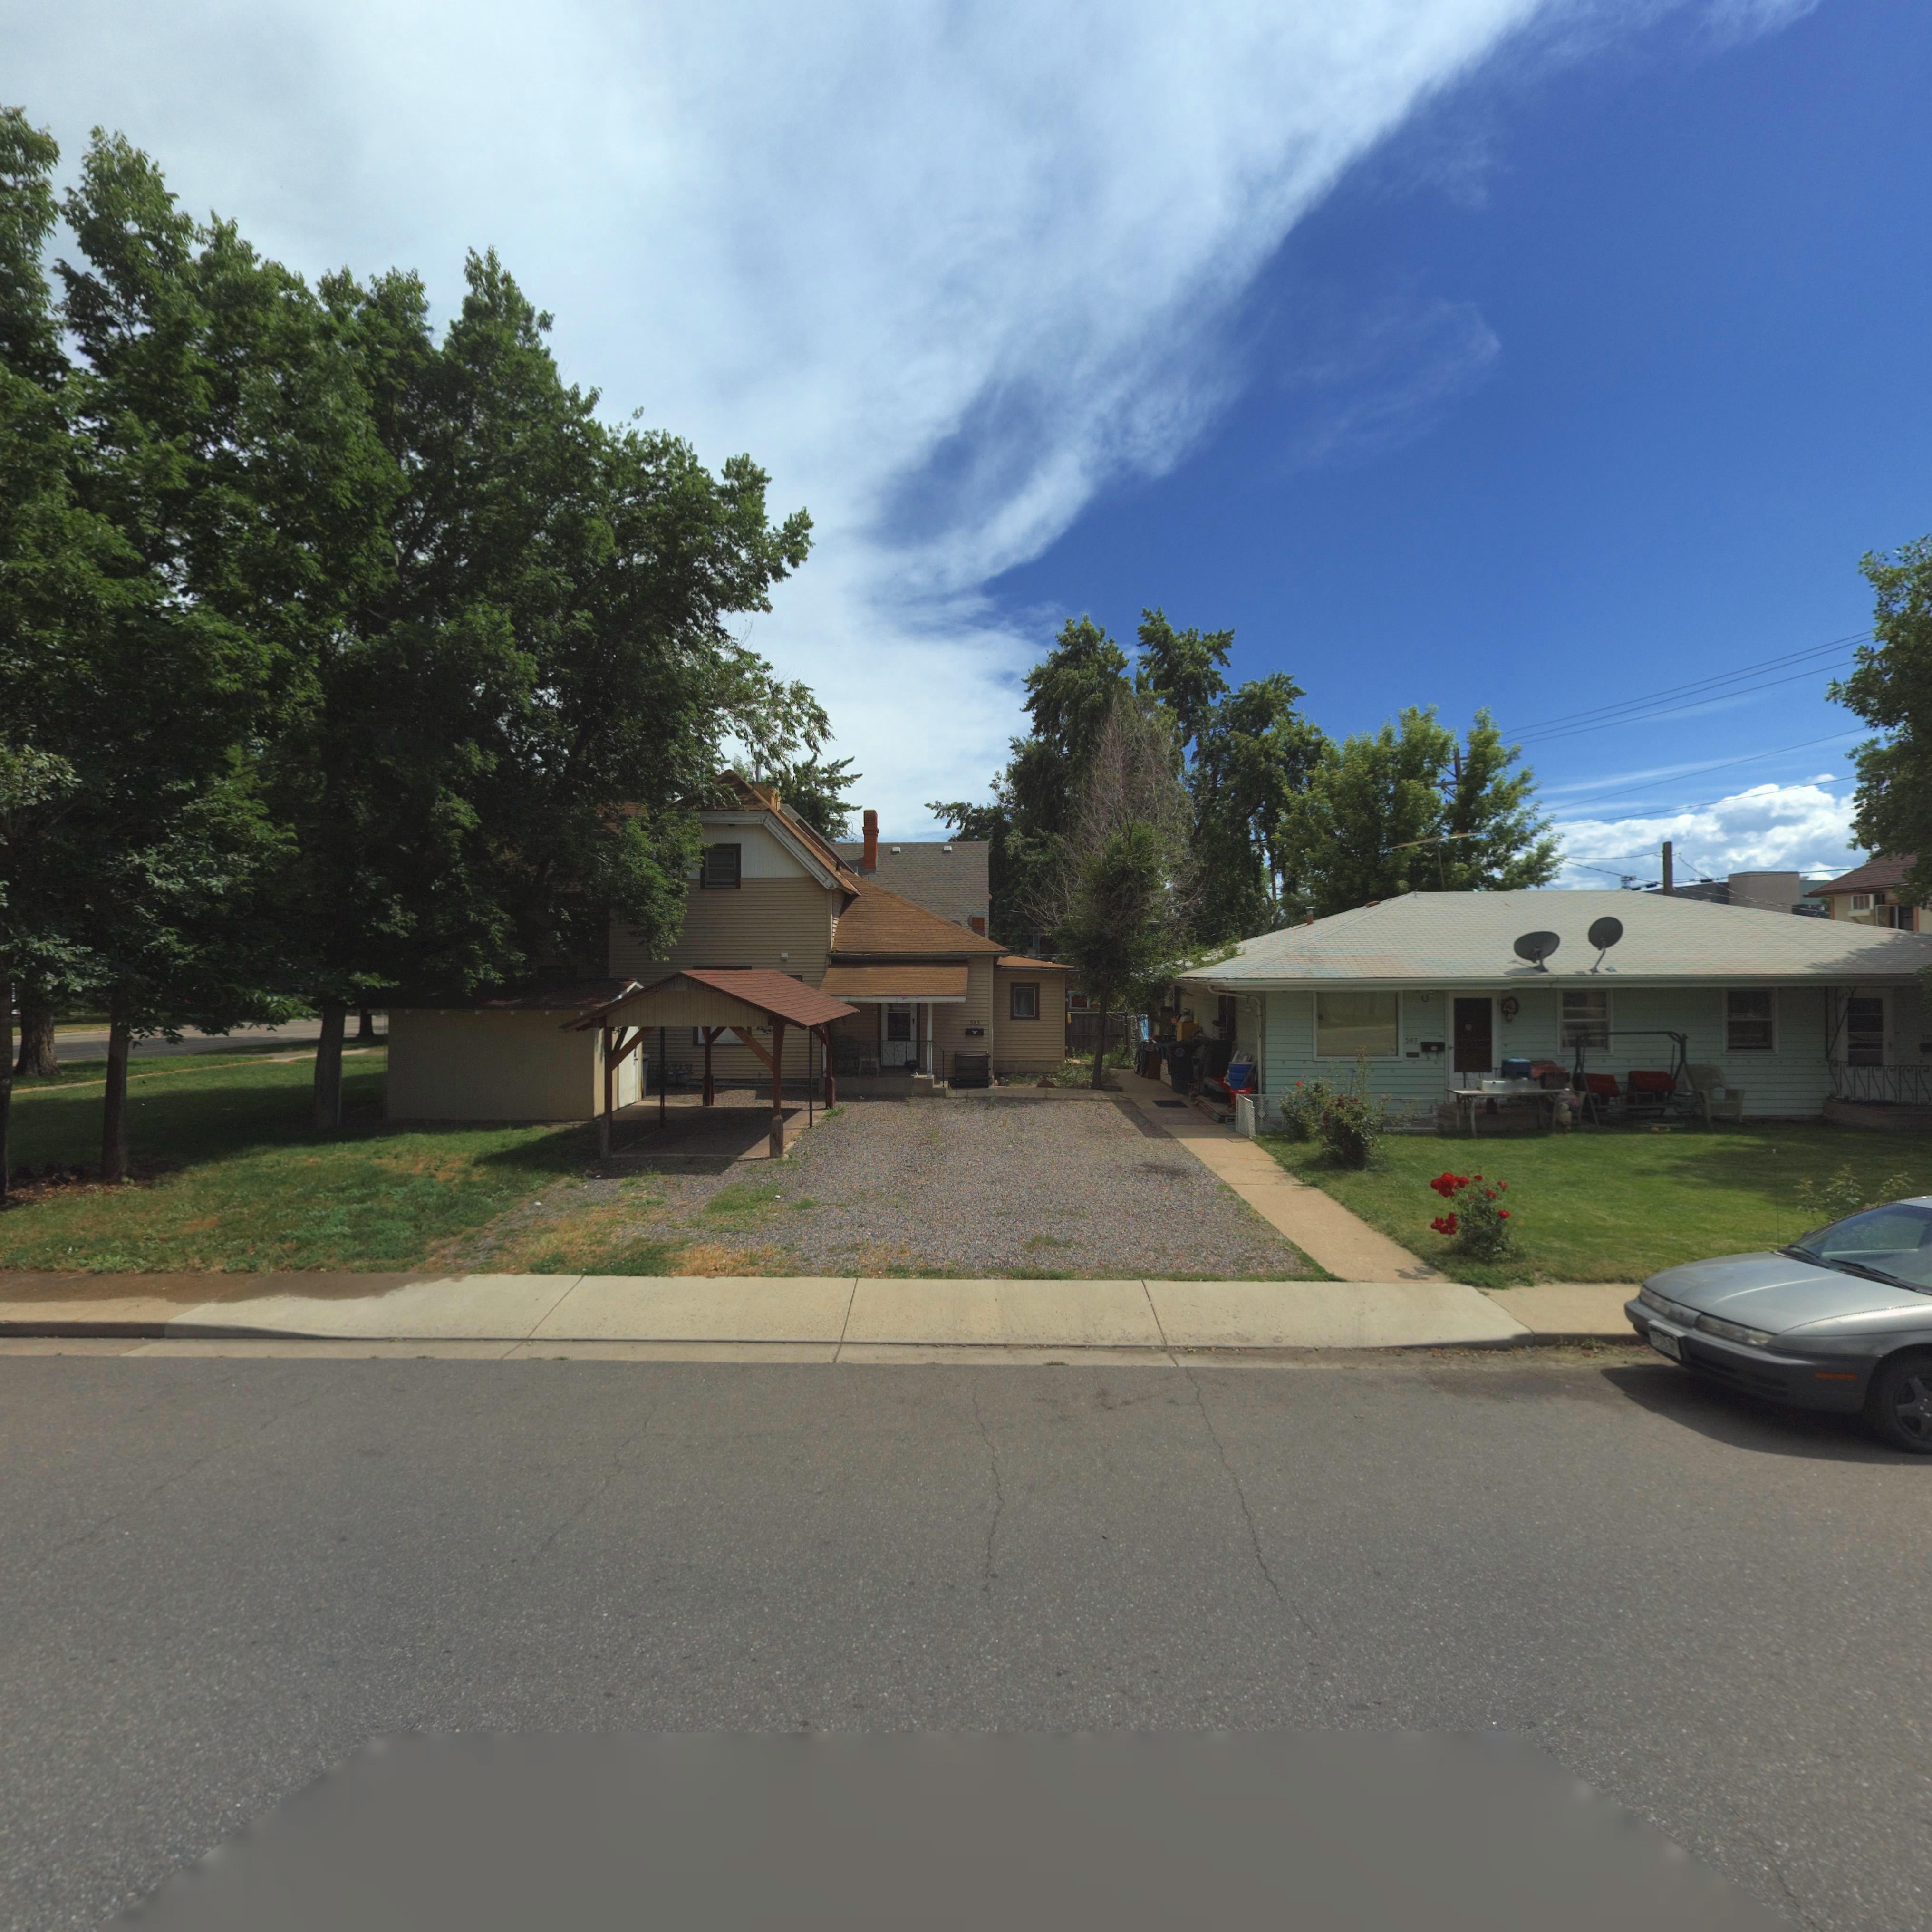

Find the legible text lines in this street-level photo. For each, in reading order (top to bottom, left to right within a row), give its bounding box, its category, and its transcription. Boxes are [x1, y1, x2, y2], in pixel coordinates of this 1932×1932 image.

[1405, 1037, 1418, 1043] StreetNumber: 507